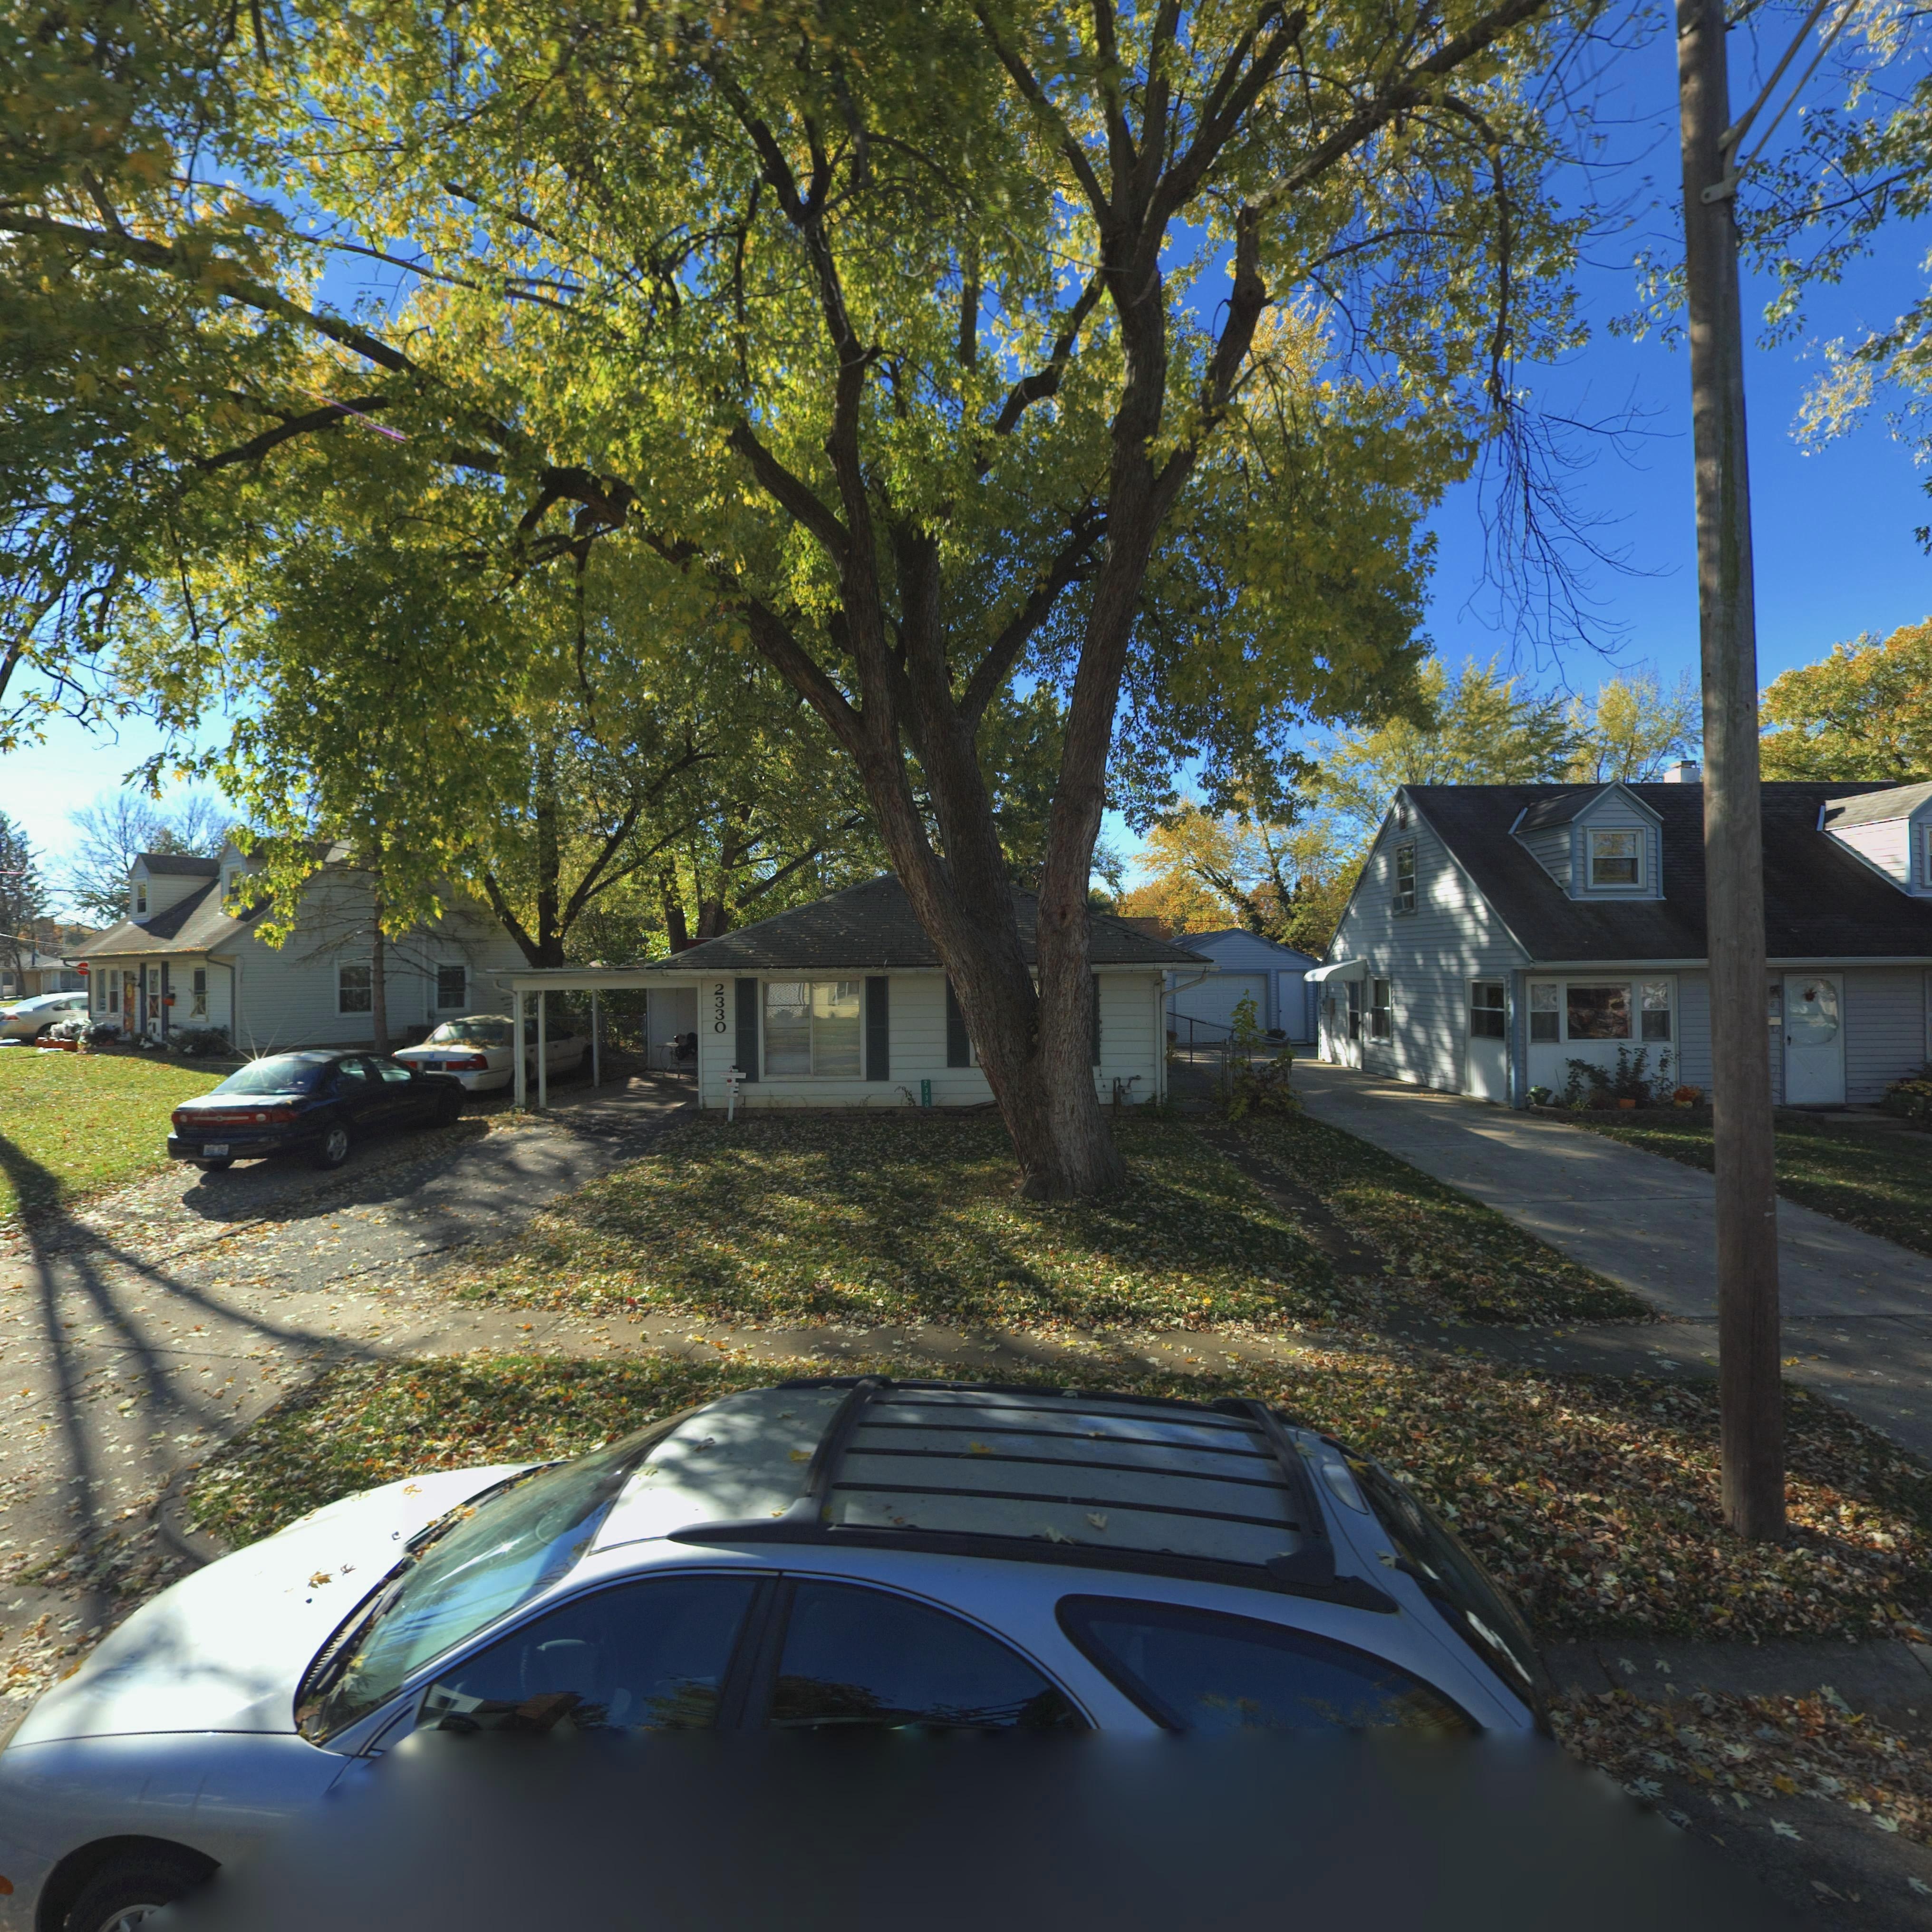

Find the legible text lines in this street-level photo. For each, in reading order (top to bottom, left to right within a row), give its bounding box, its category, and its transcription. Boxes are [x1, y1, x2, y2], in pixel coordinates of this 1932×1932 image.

[714, 983, 728, 1034] StreetNumber: 2330
[923, 1080, 930, 1109] StreetNumber: 2330